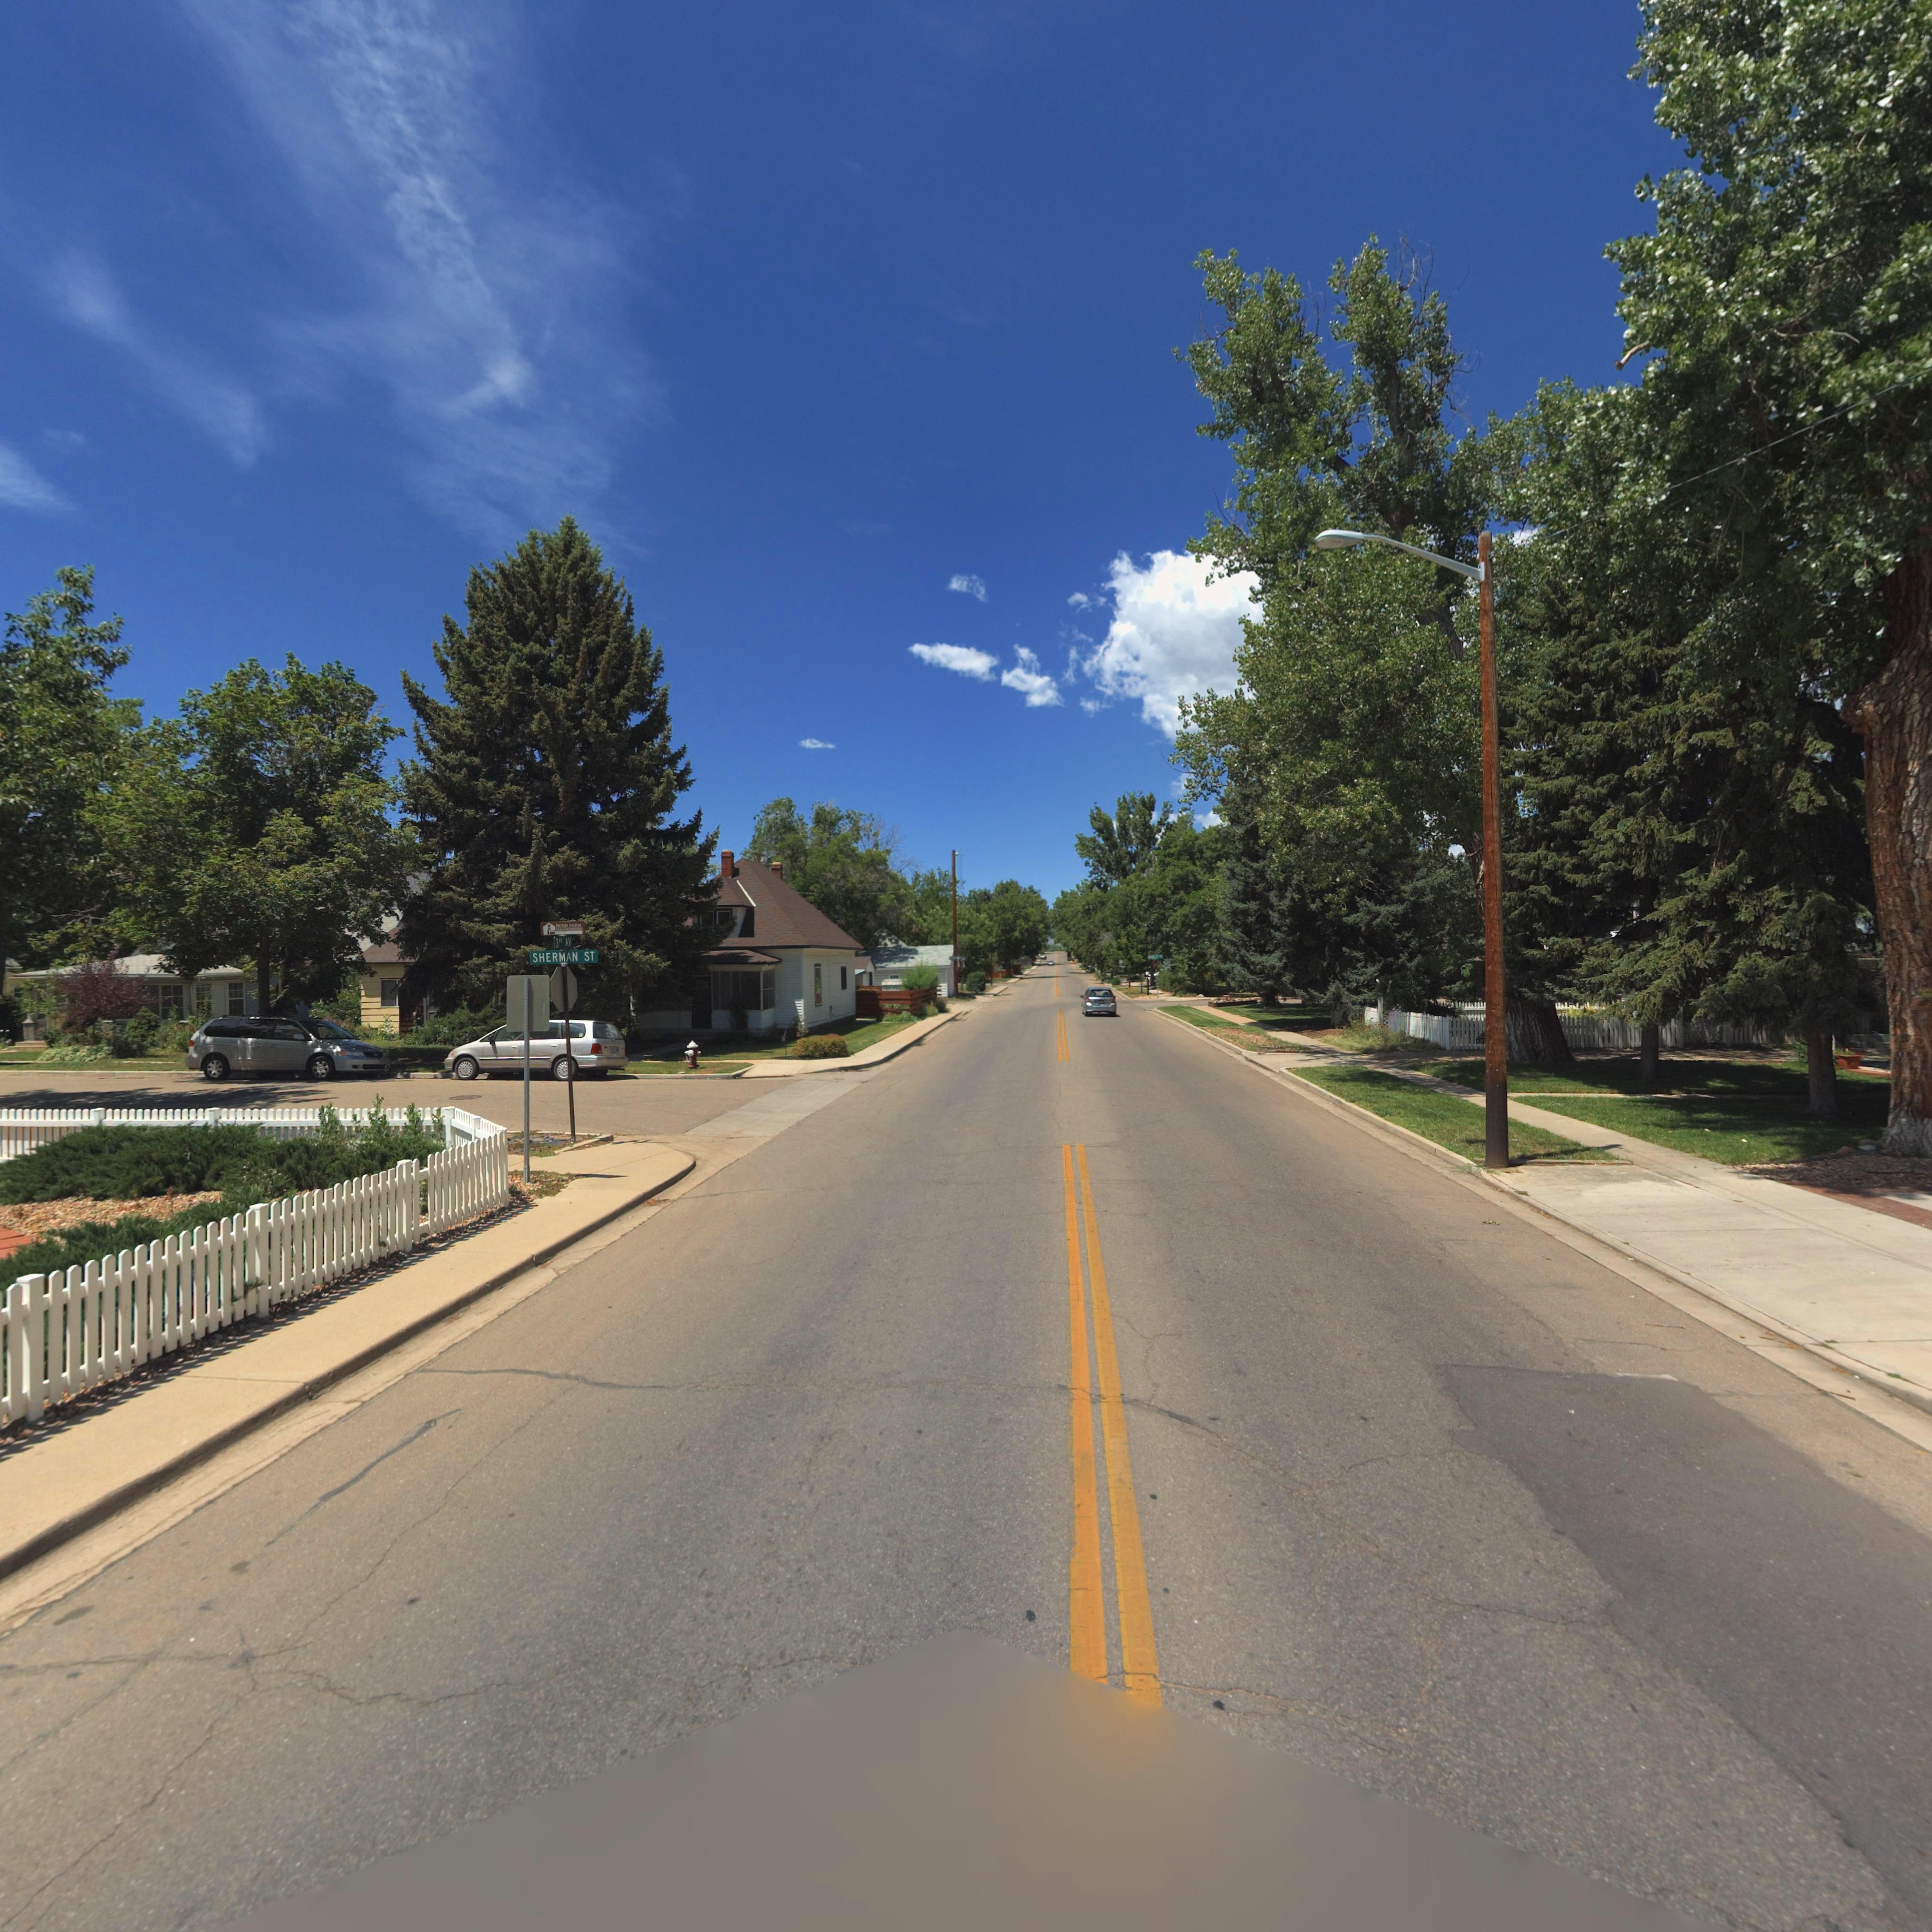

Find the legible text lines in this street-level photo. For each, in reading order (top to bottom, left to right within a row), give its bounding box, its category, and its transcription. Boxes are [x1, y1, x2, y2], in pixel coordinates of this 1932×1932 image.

[555, 937, 571, 948] StreetName: 3RD AV
[532, 951, 594, 963] StreetName: SHERMAN ST
[1477, 1039, 1483, 1043] StreetNumber: 13